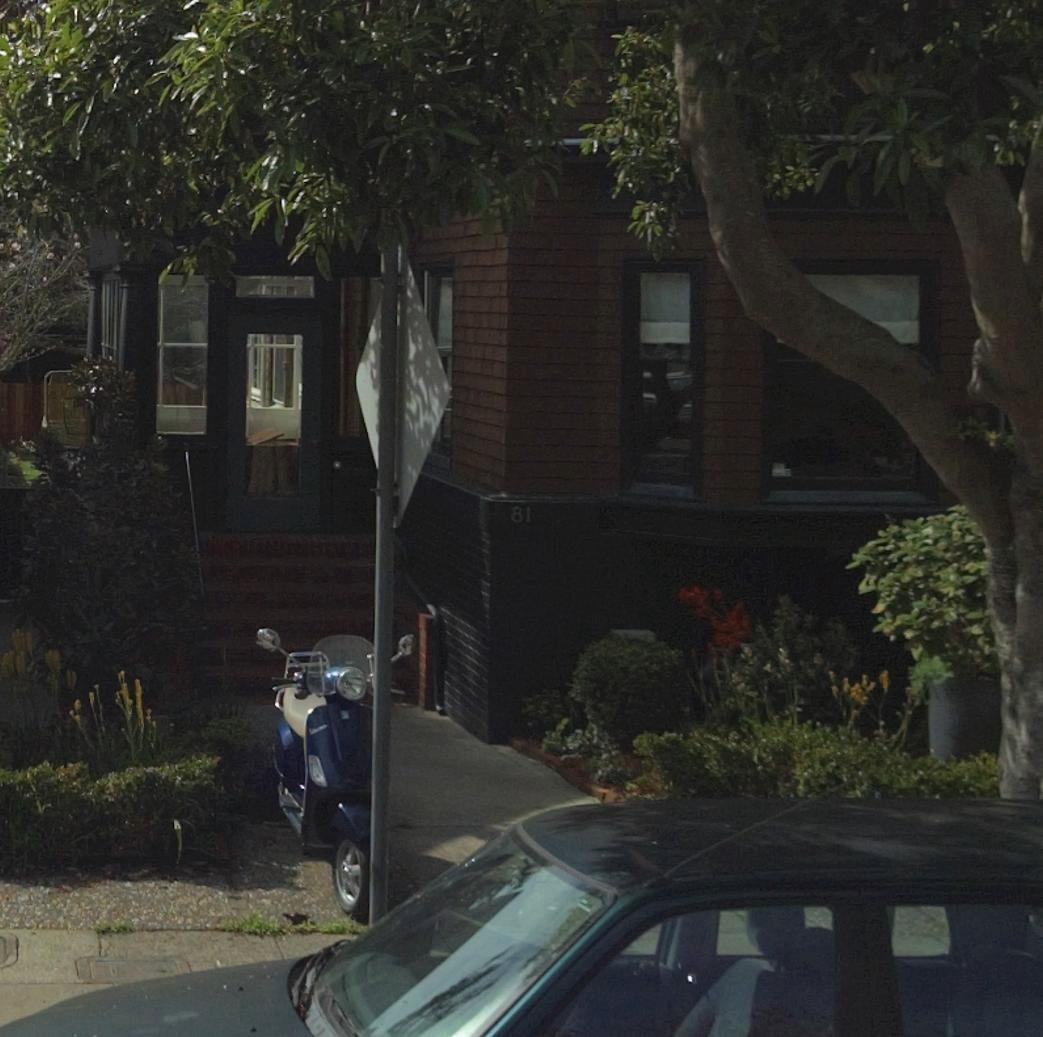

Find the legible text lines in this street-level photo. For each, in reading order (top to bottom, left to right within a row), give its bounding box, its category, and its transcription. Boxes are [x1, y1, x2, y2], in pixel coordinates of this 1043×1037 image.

[509, 505, 534, 524] StreetNumber: 81